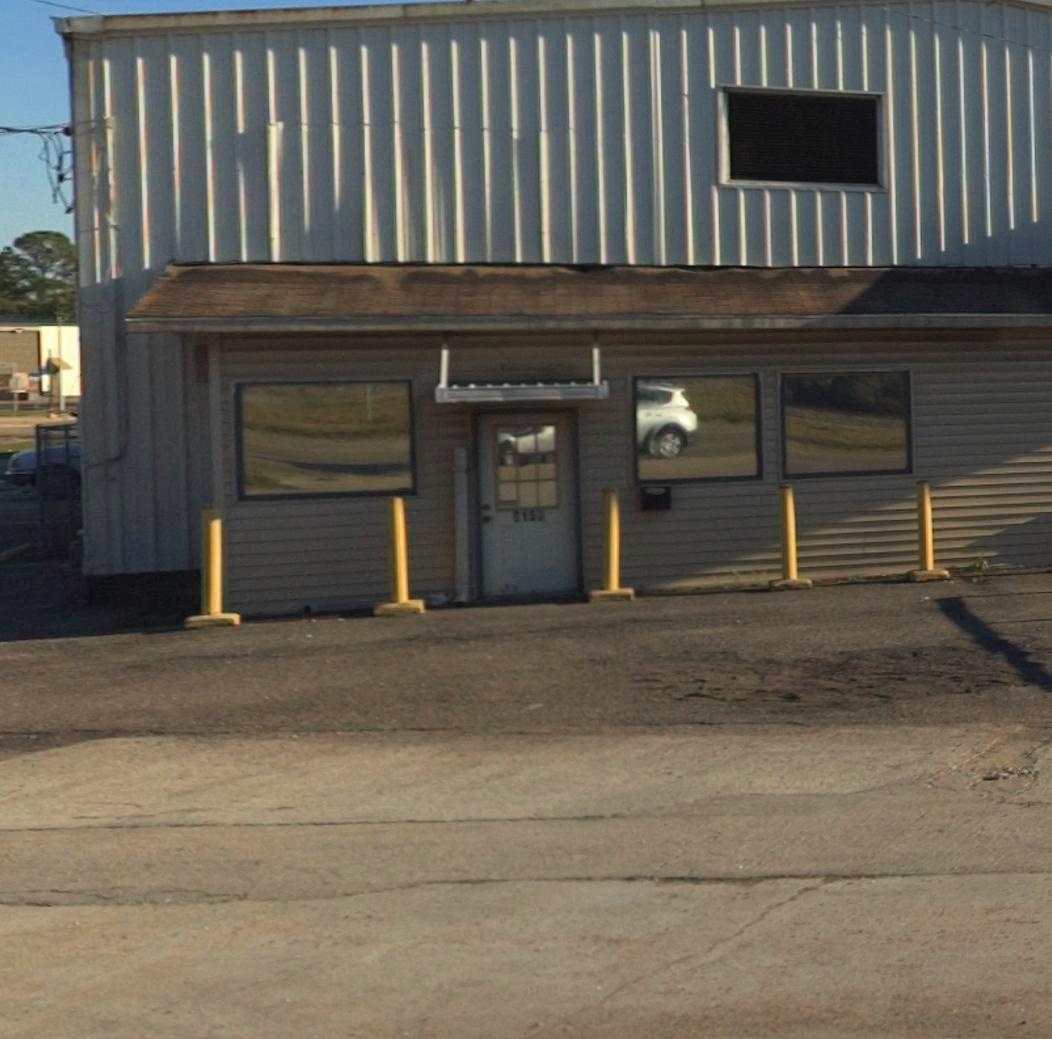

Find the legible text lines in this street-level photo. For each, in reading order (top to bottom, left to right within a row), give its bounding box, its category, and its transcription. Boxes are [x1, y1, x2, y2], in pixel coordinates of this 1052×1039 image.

[512, 509, 545, 523] StreetNumber: *15*